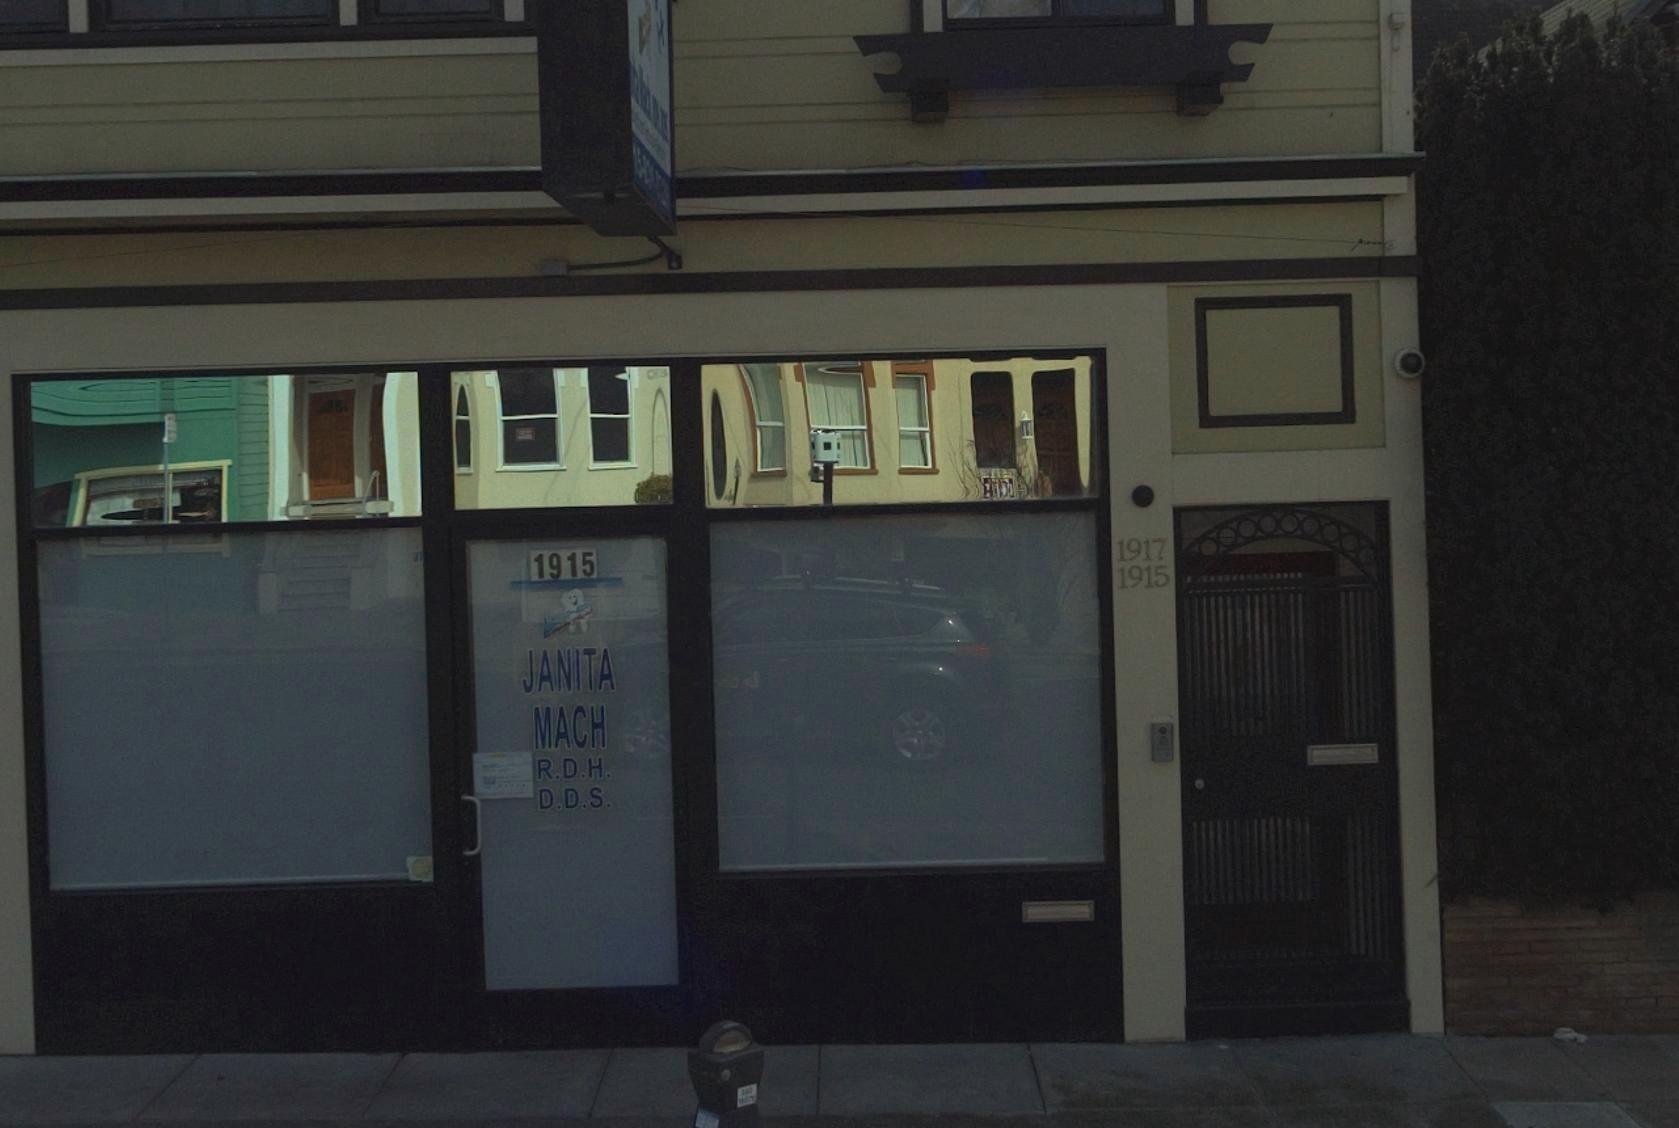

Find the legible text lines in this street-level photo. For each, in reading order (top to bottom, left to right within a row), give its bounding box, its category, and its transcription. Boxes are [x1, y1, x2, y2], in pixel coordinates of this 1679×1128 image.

[532, 548, 597, 582] StreetNumber: 1915
[1114, 536, 1170, 563] StreetNumber: 1917
[1115, 562, 1173, 592] StreetNumber: 1915
[518, 643, 621, 696] None: JANIA
[530, 701, 609, 752] None: MACH
[534, 752, 606, 783] None: R.D.H
[535, 783, 607, 813] None: D.D.S